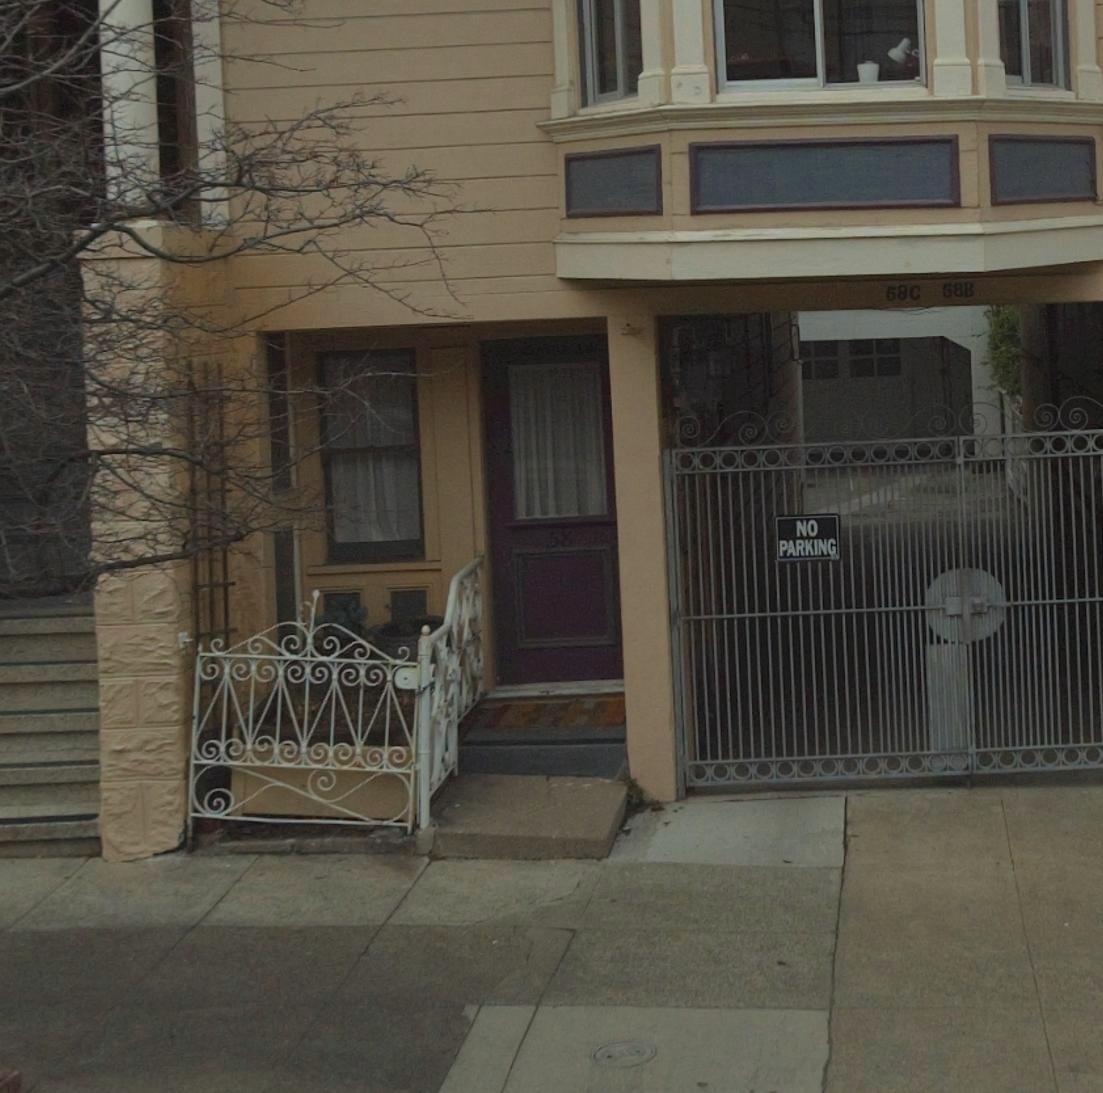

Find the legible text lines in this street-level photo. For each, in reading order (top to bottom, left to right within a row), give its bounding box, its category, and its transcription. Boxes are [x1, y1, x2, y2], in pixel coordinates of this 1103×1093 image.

[885, 283, 923, 303] StreetNumber: 58C
[940, 279, 976, 300] StreetNumber: 58B
[794, 518, 819, 538] None: NO
[547, 529, 574, 549] StreetNumber: 58
[778, 537, 838, 557] None: PARKING